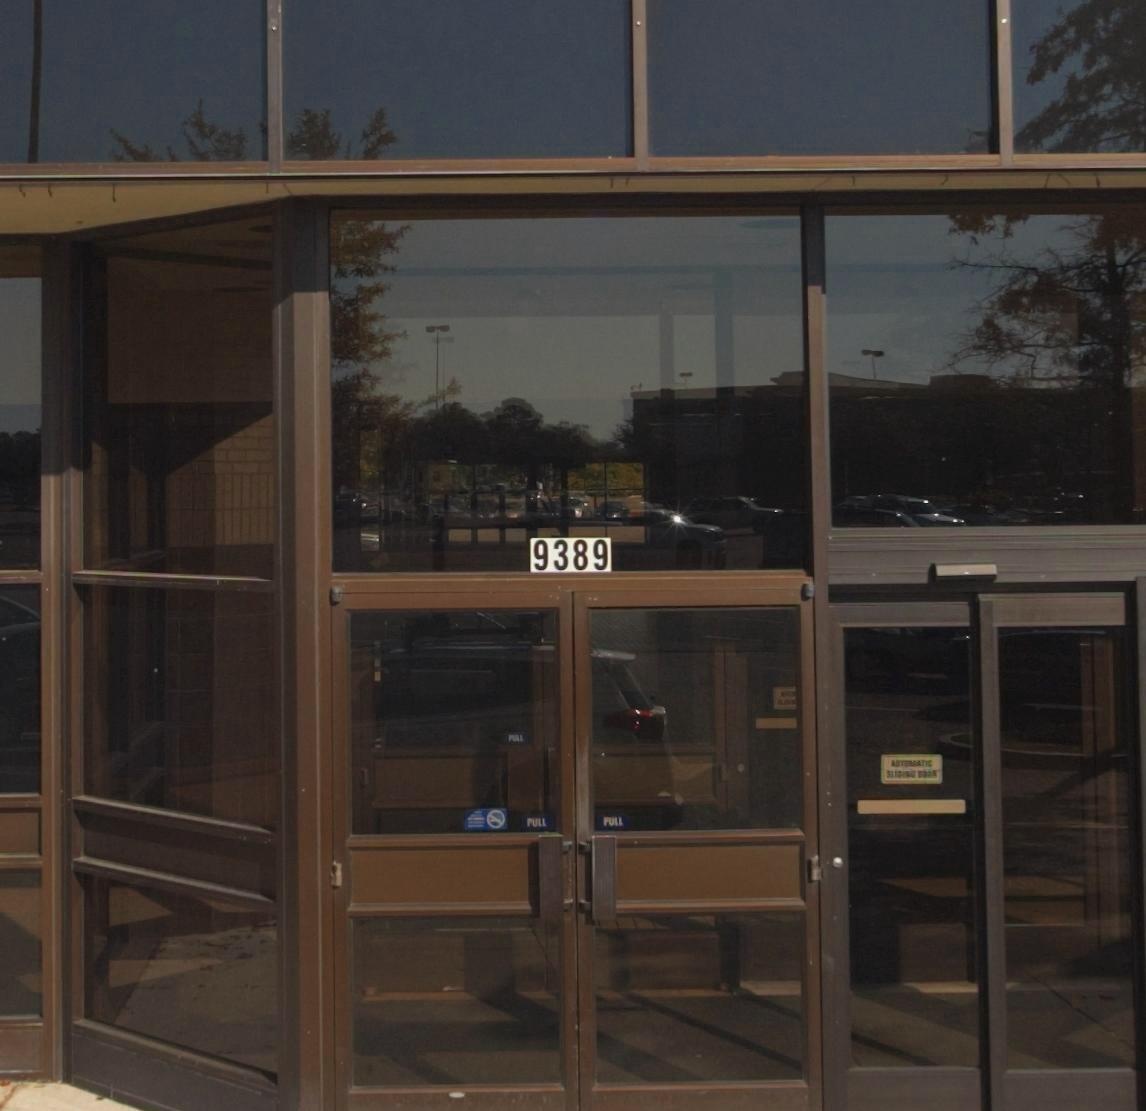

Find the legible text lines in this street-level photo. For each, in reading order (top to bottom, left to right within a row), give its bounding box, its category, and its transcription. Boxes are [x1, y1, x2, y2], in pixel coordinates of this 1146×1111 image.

[533, 539, 609, 571] StreetNumber: 9389
[526, 817, 547, 828] None: PULL
[602, 816, 625, 827] None: PULL